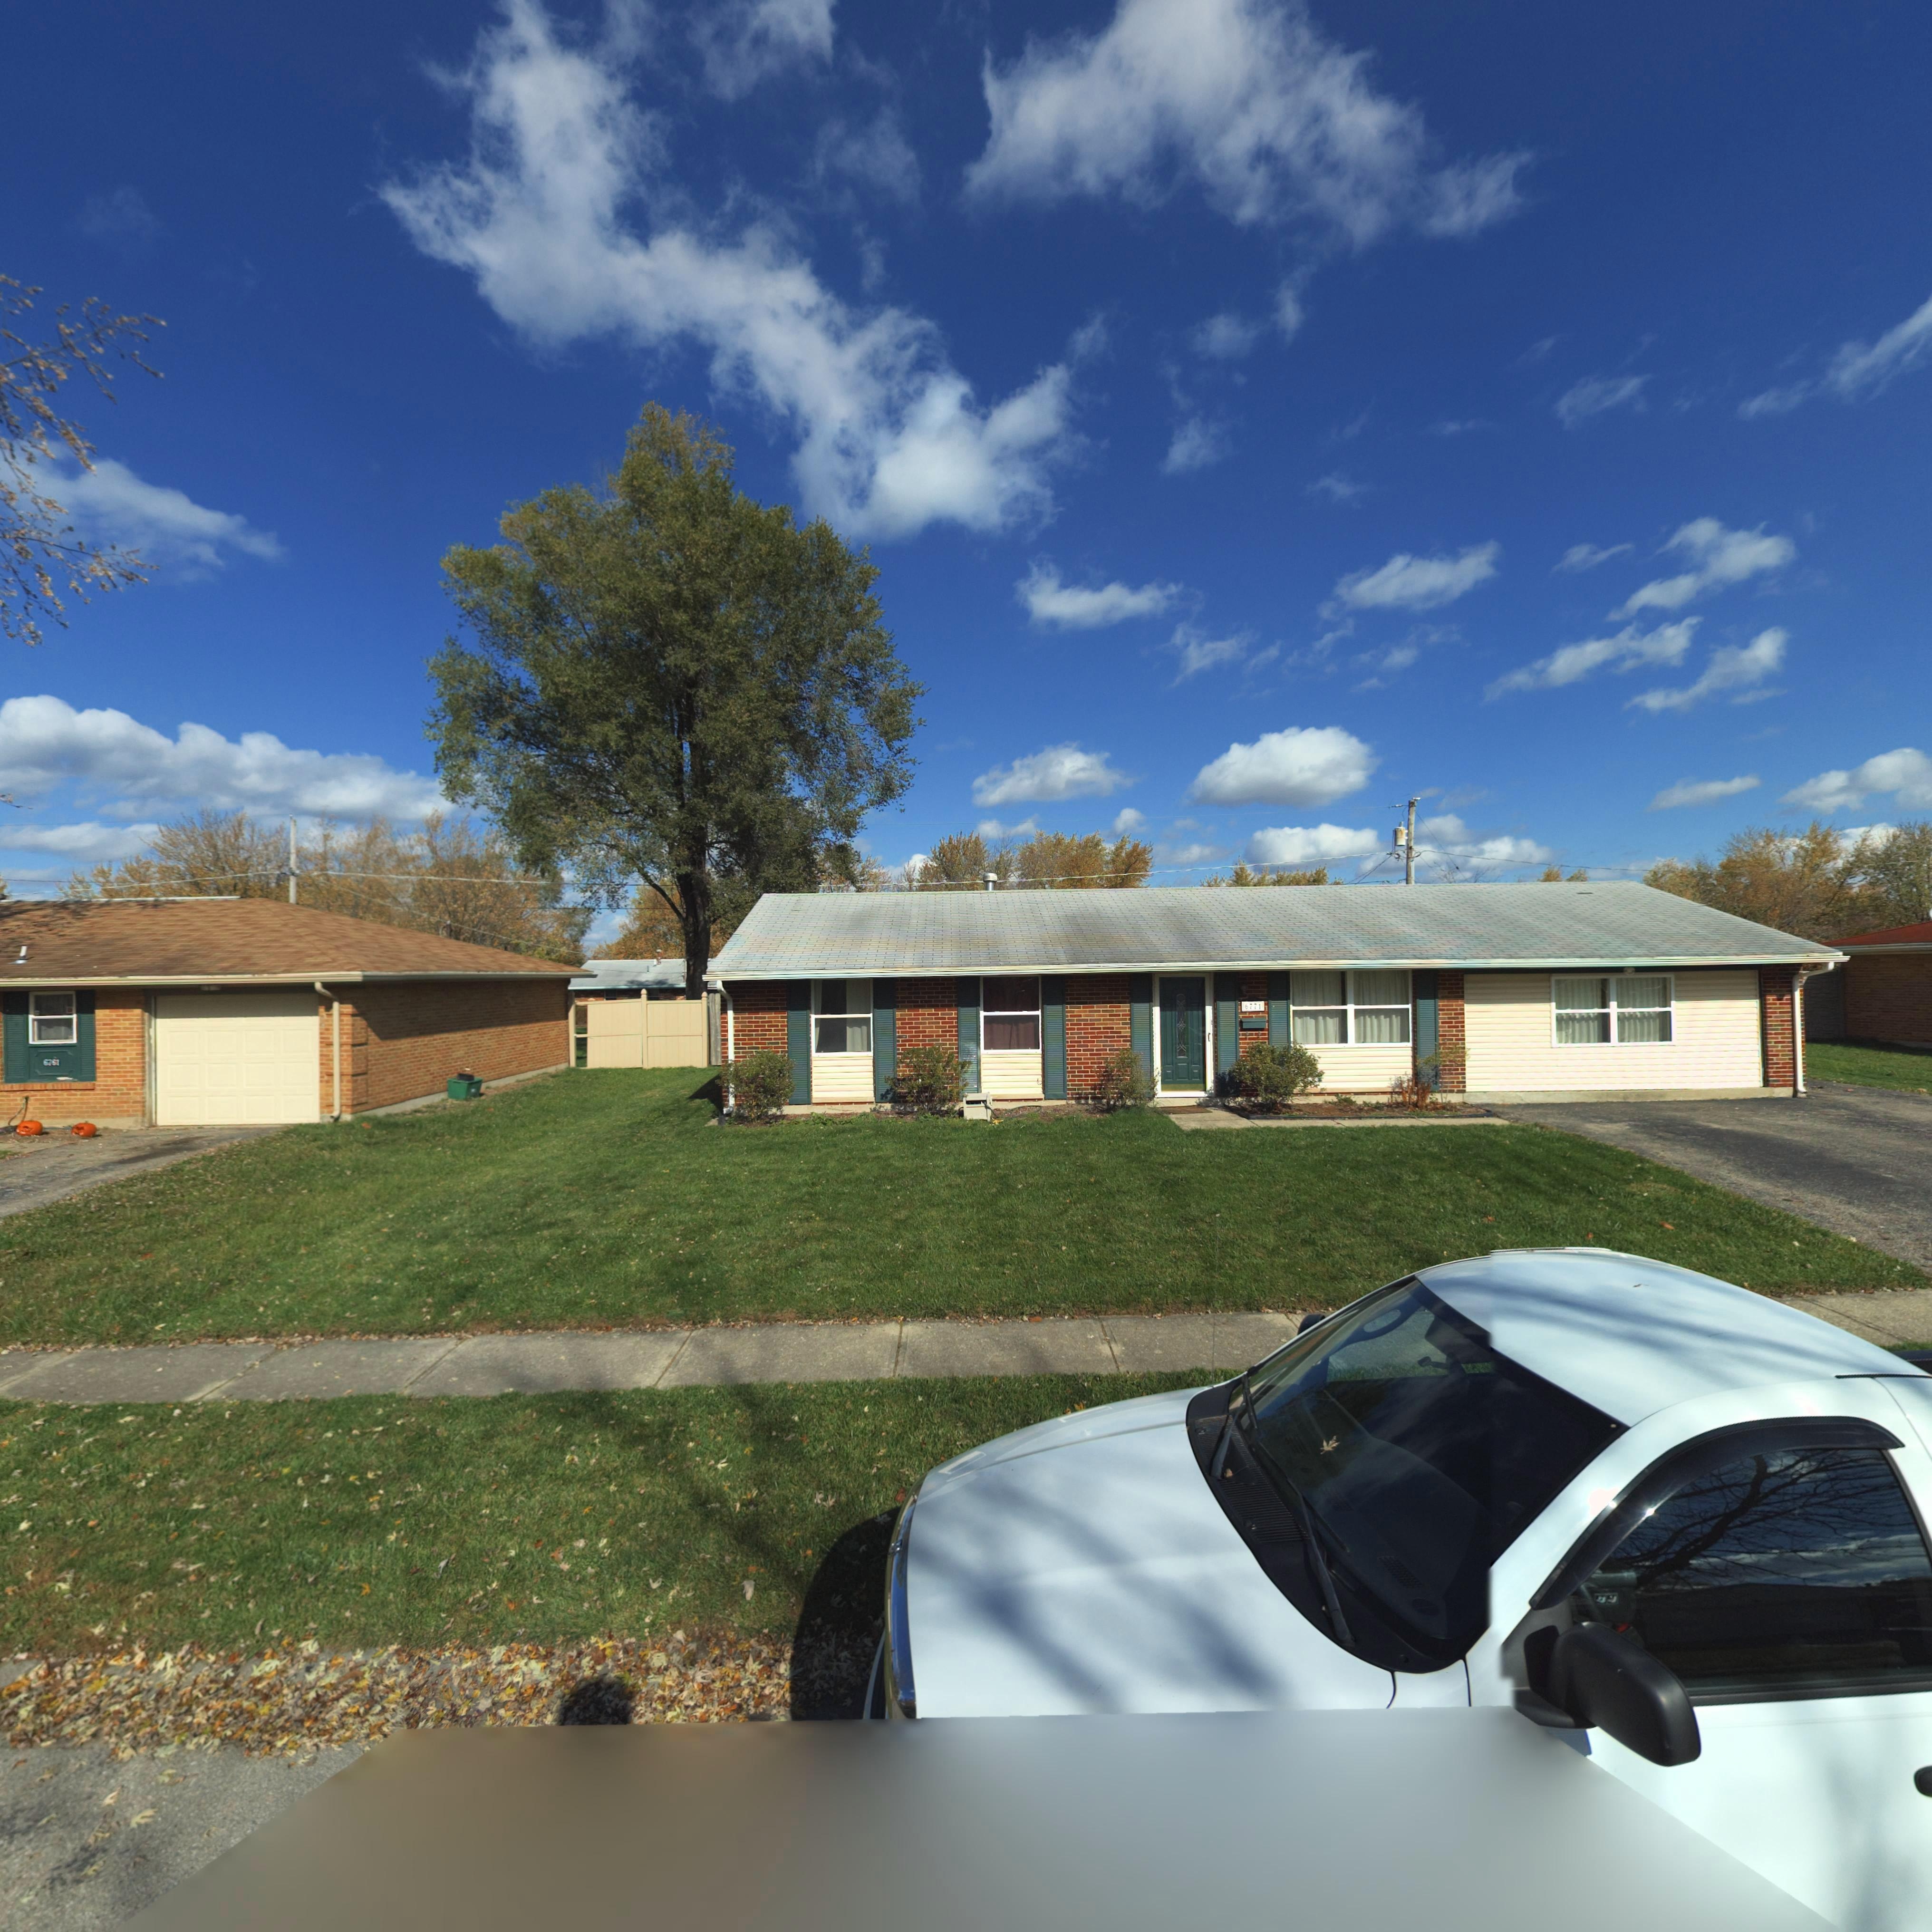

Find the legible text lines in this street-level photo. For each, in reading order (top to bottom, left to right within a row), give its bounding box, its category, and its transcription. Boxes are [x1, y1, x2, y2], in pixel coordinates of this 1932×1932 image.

[1244, 1003, 1261, 1010] StreetNumber: 6771
[43, 1058, 60, 1066] StreetNumber: 6761